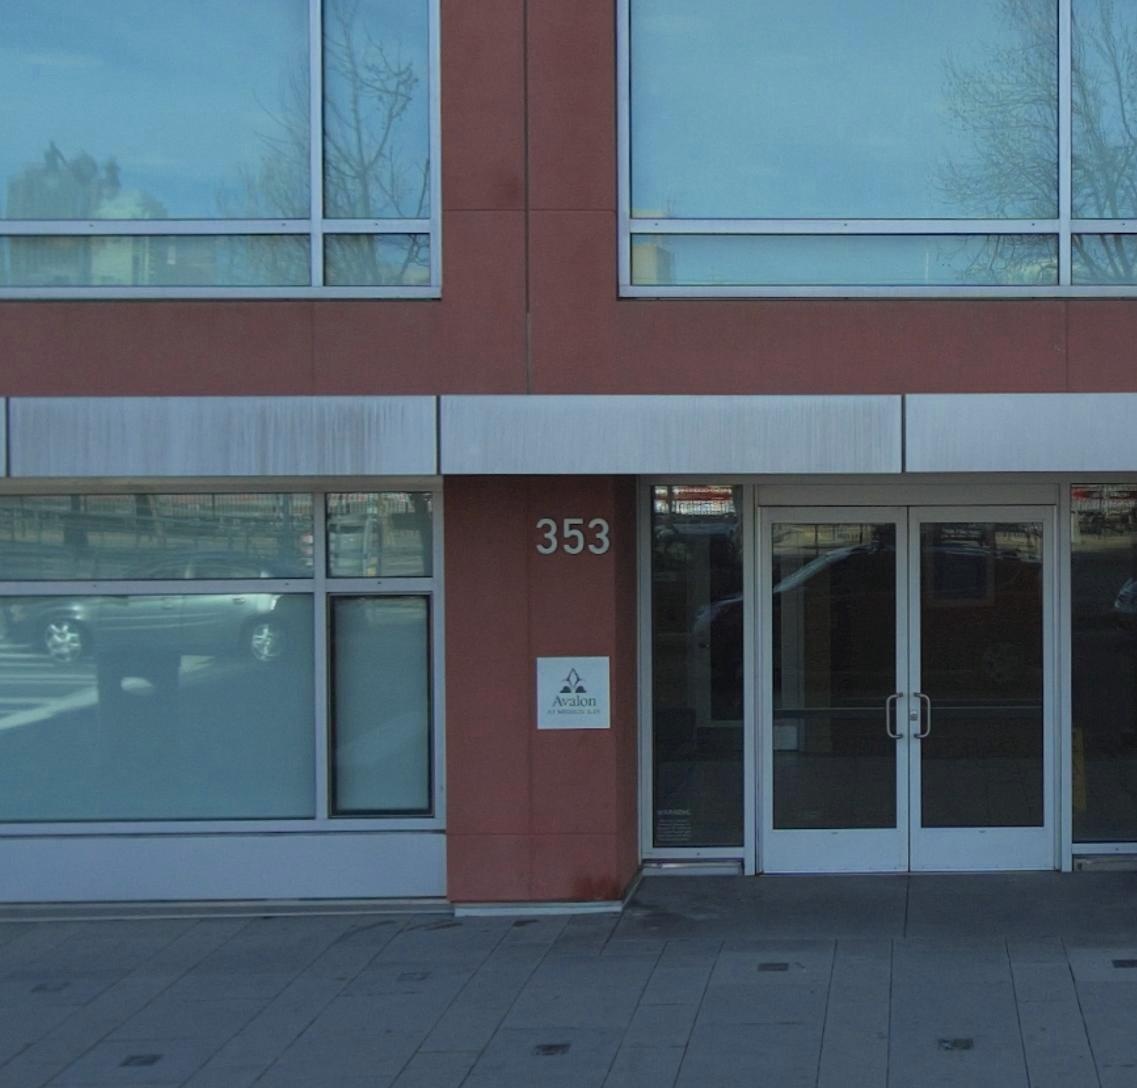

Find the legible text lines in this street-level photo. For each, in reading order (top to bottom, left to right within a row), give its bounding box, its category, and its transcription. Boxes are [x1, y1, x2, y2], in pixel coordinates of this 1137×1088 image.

[534, 515, 613, 557] StreetNumber: 353
[548, 691, 599, 711] BusinessName: Avalon